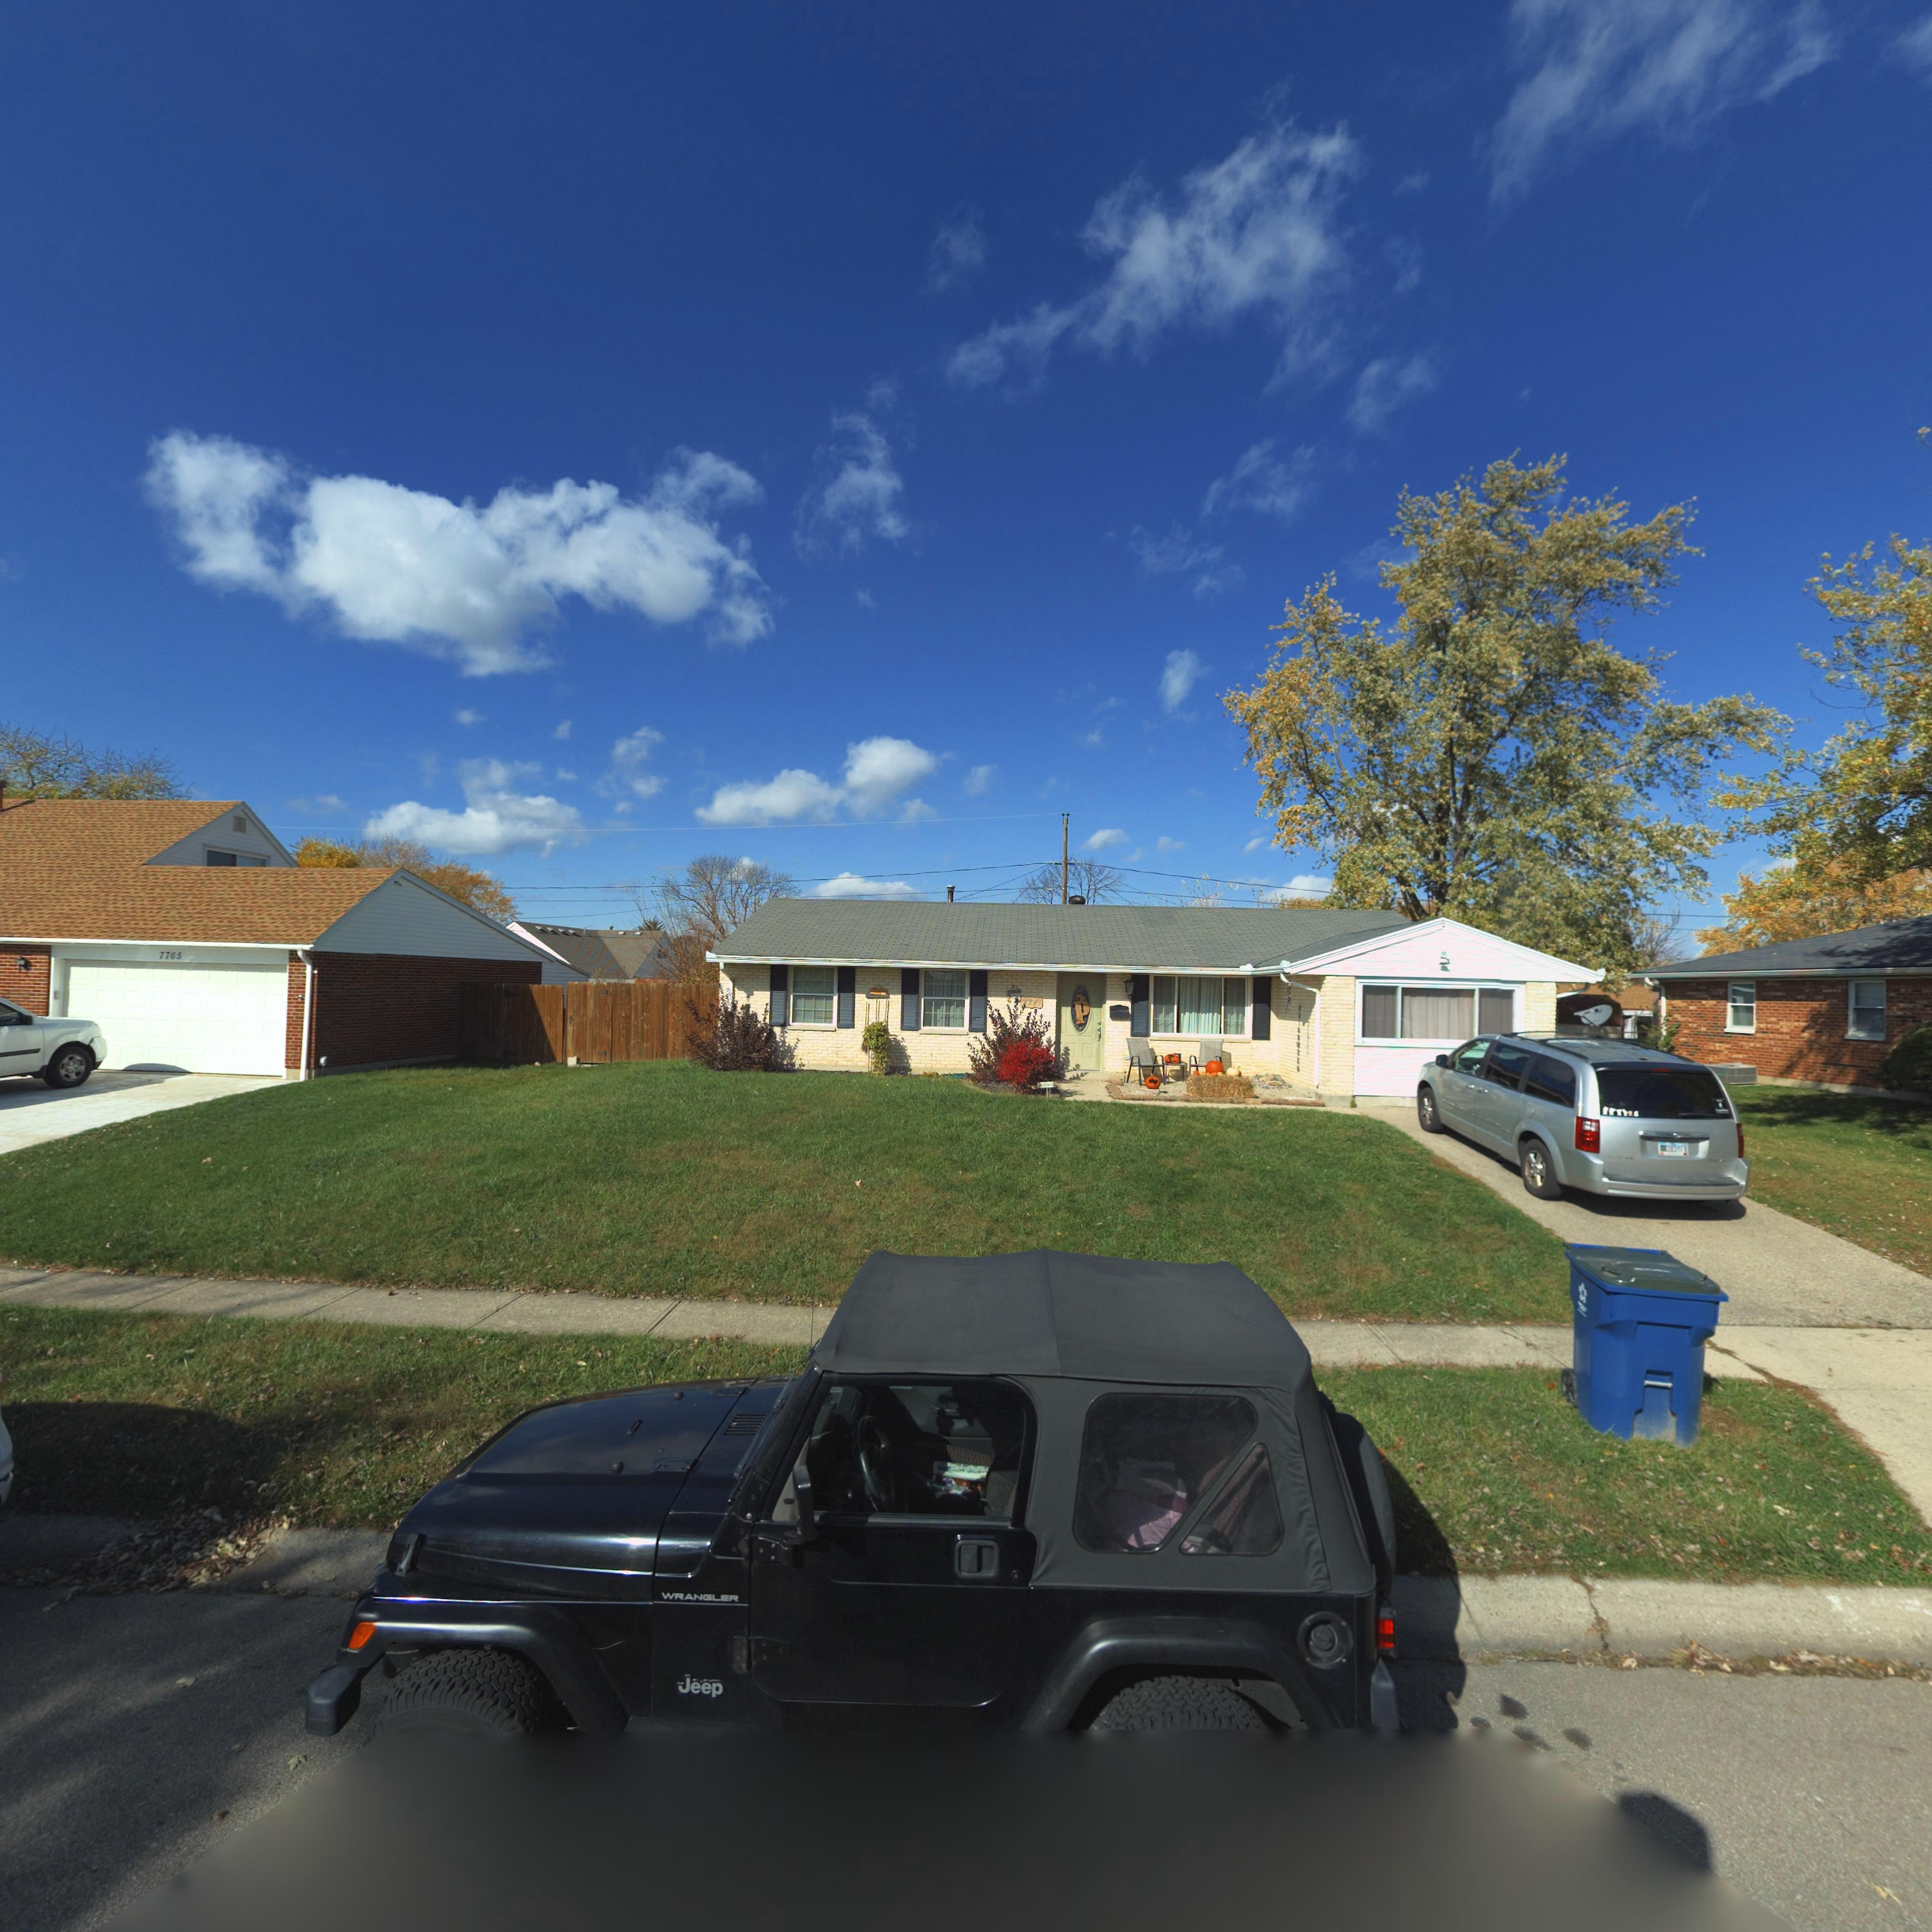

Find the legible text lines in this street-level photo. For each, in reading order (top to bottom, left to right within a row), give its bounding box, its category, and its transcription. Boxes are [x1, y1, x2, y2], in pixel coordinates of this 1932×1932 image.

[158, 951, 183, 961] StreetNumber: 7765
[1022, 998, 1042, 1007] StreetNumber: 7771